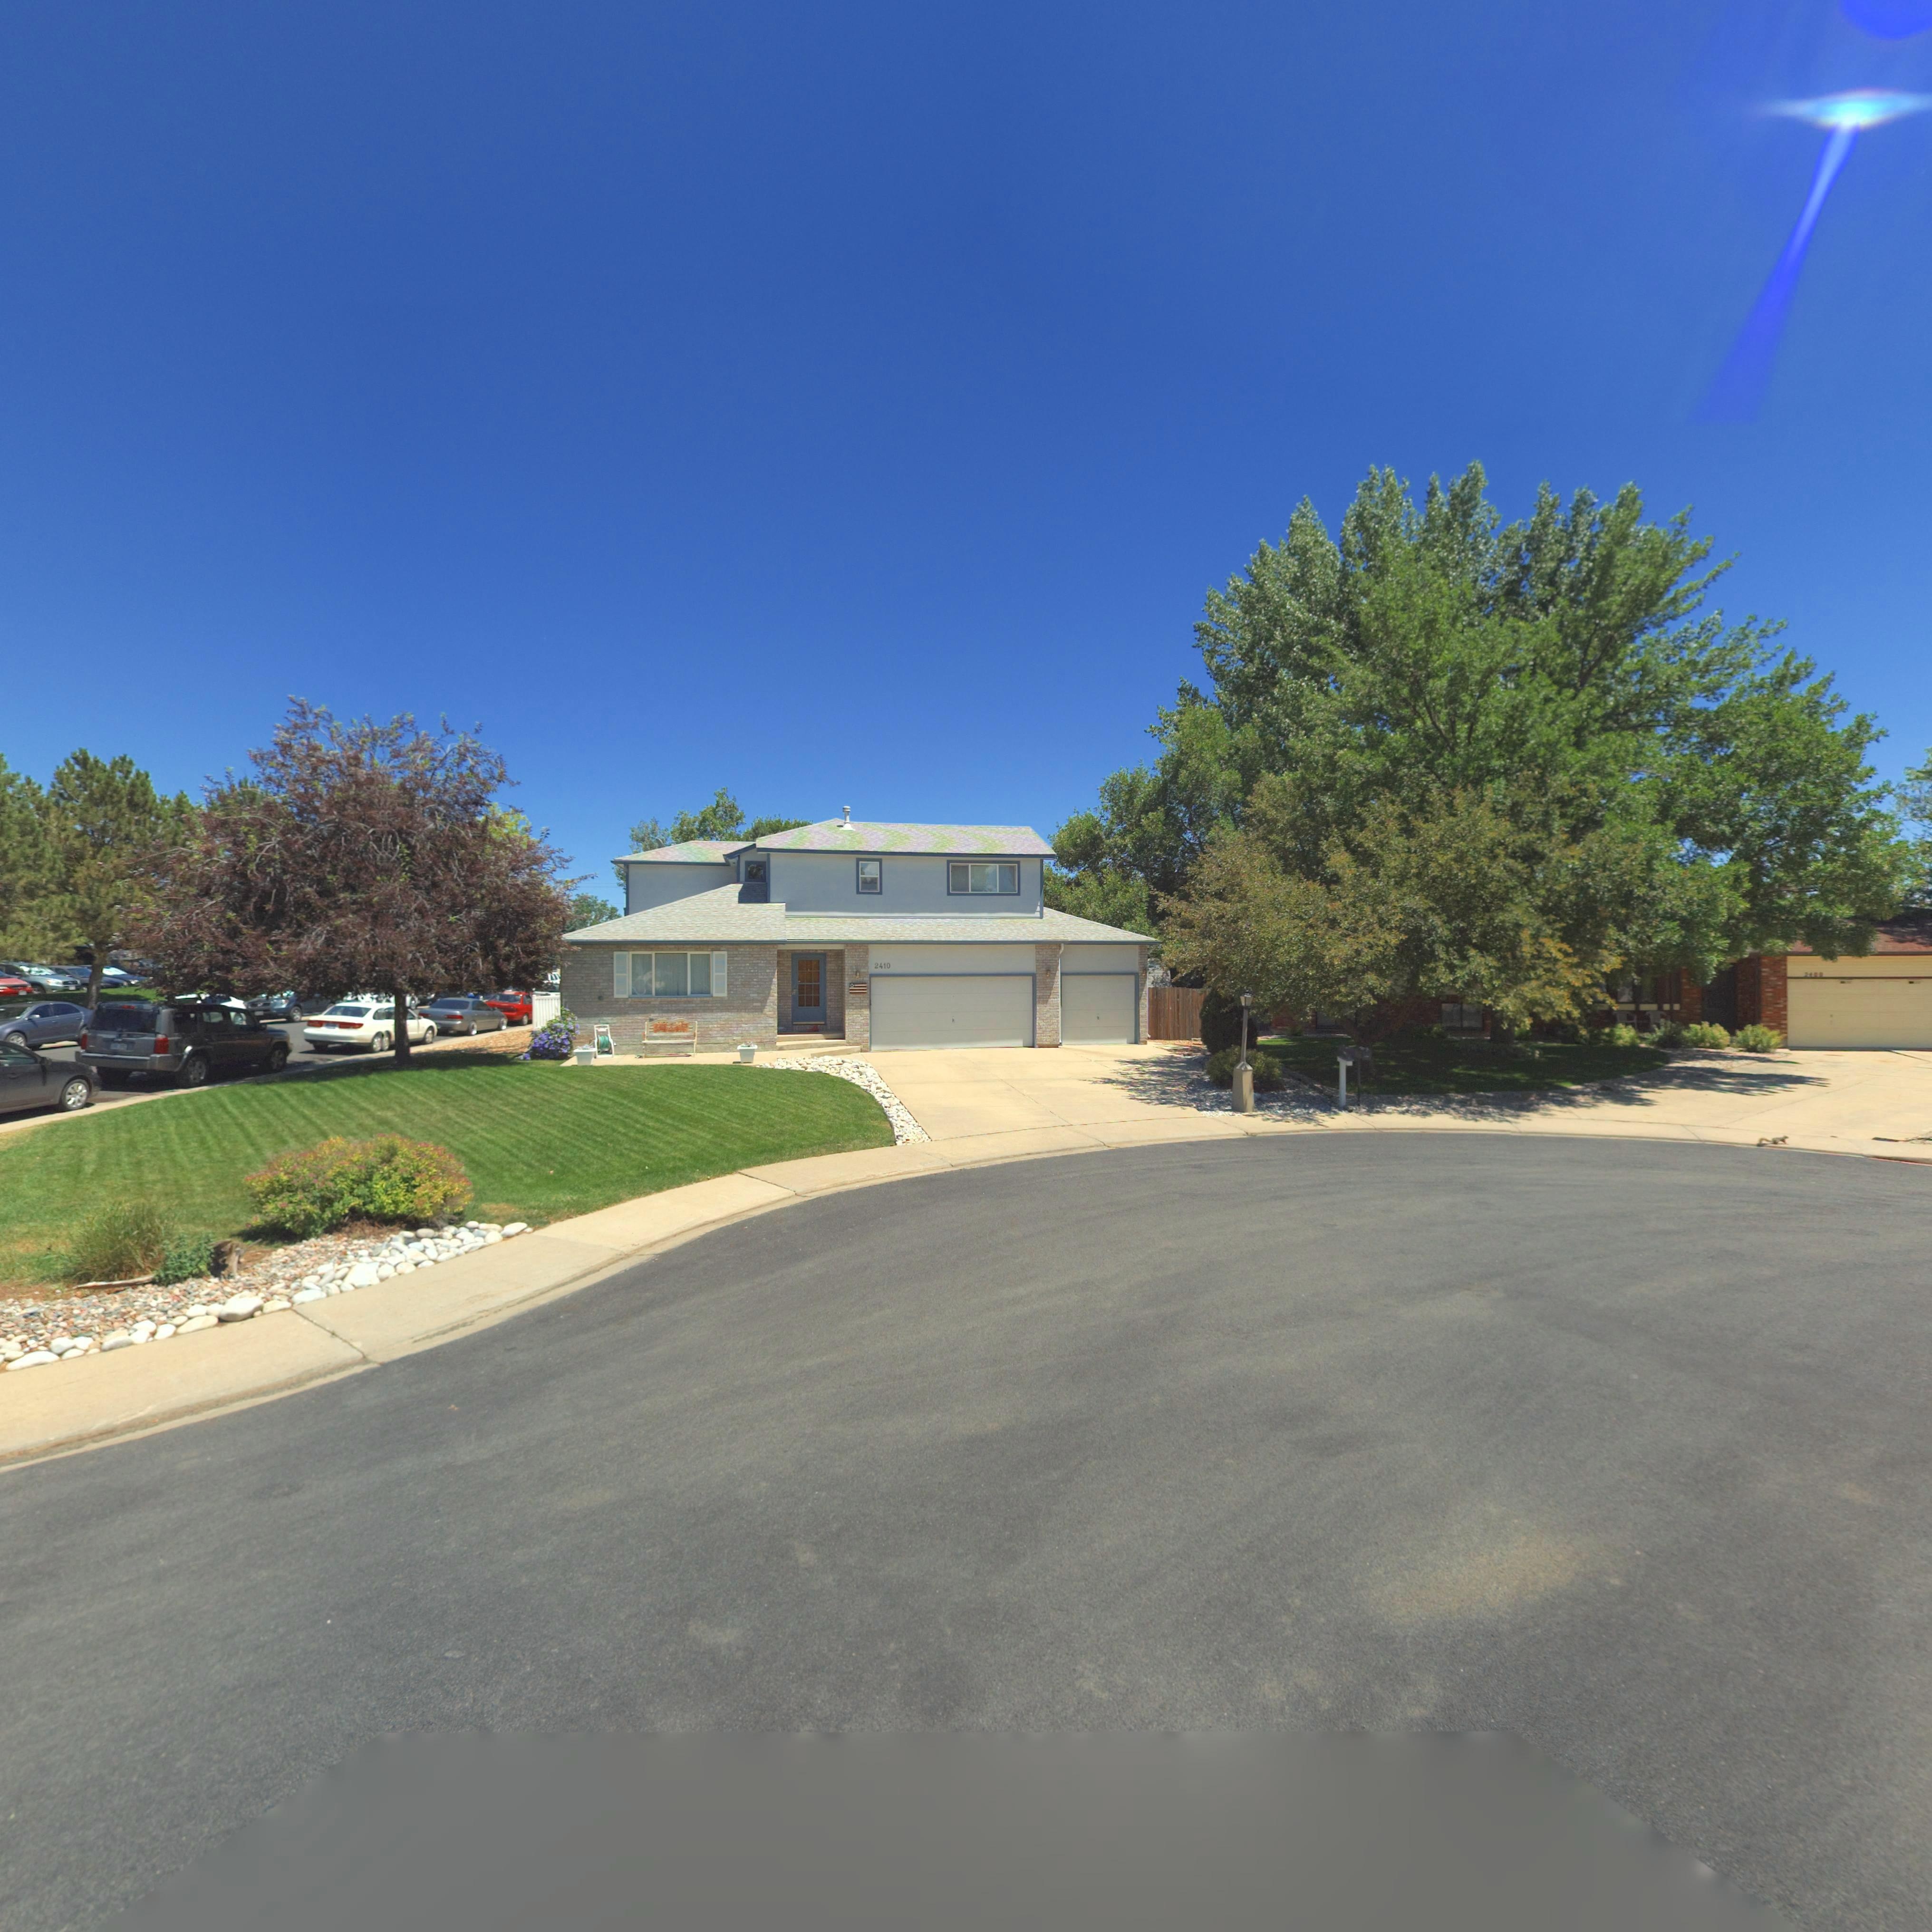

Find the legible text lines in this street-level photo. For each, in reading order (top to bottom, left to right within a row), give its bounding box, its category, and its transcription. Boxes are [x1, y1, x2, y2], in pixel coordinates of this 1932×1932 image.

[874, 962, 890, 969] StreetNumber: 2410
[1804, 971, 1824, 977] StreetNumber: 2400